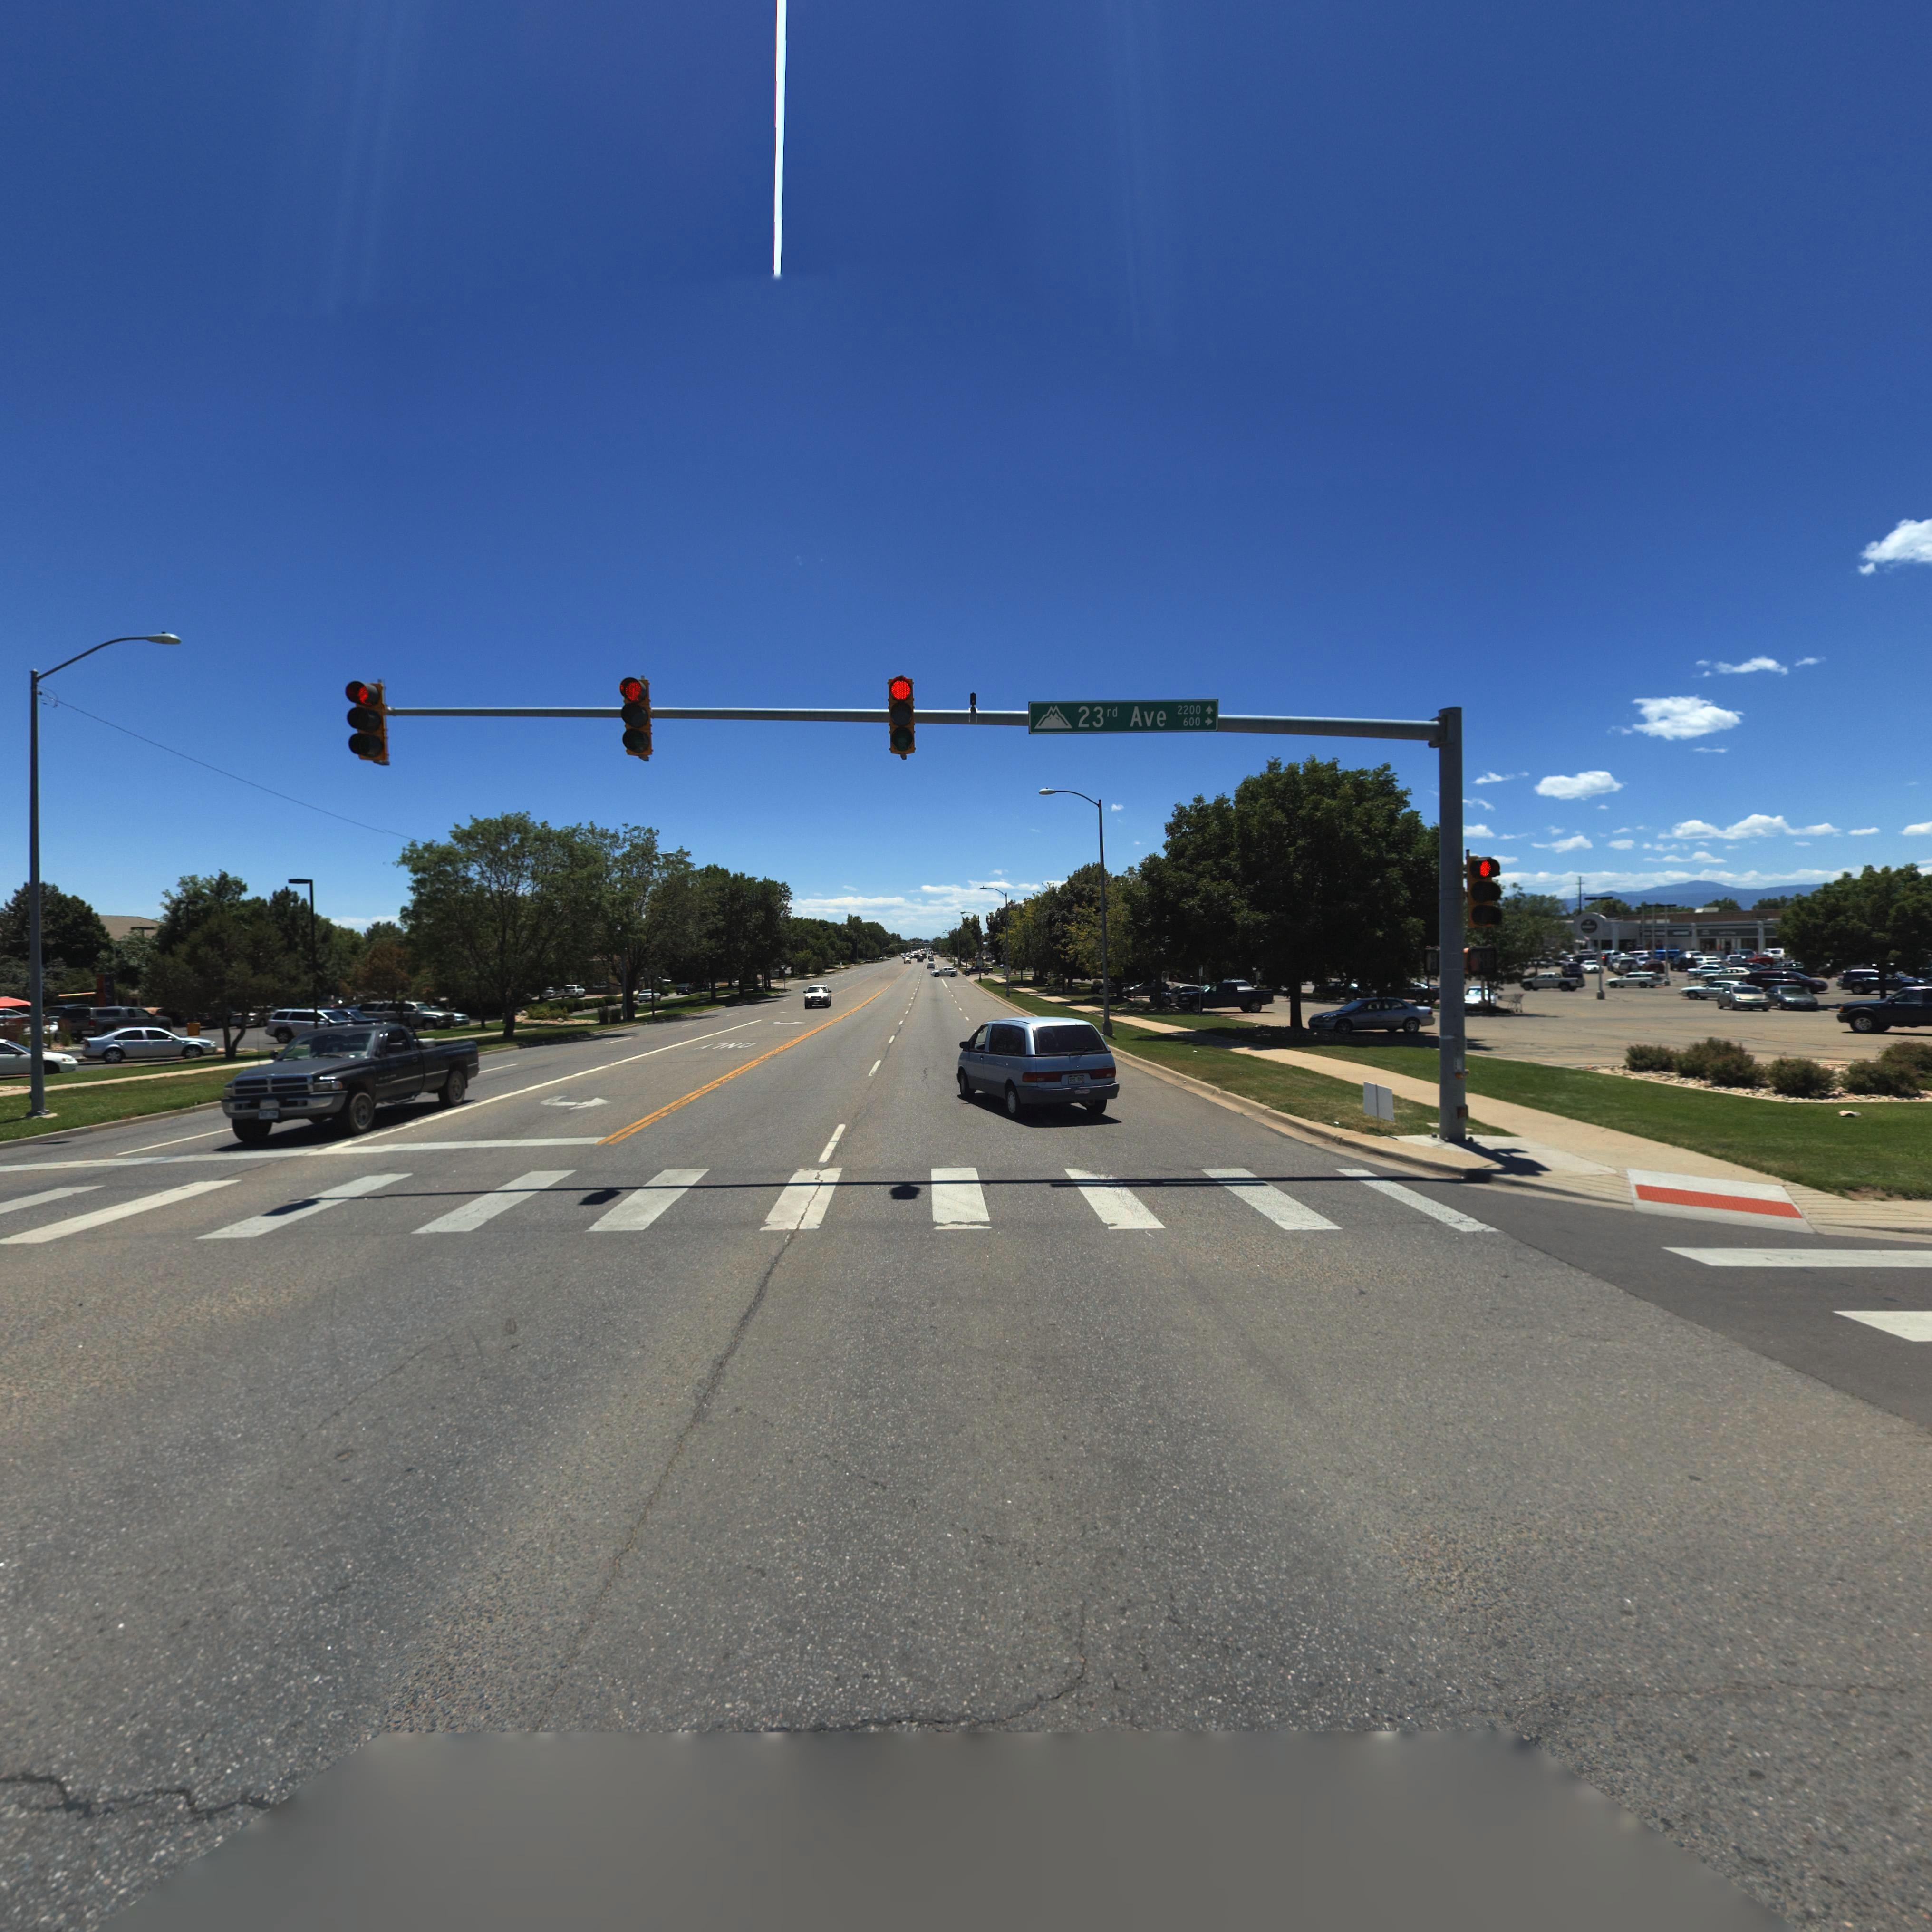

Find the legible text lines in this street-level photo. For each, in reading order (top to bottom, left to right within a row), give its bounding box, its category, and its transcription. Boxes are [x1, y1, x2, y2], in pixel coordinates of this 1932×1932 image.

[1177, 705, 1201, 715] StreetNumberRange: 2200
[1077, 705, 1166, 728] StreetName: 23rd Ave
[1182, 716, 1214, 726] StreetNumberRange: 6000->